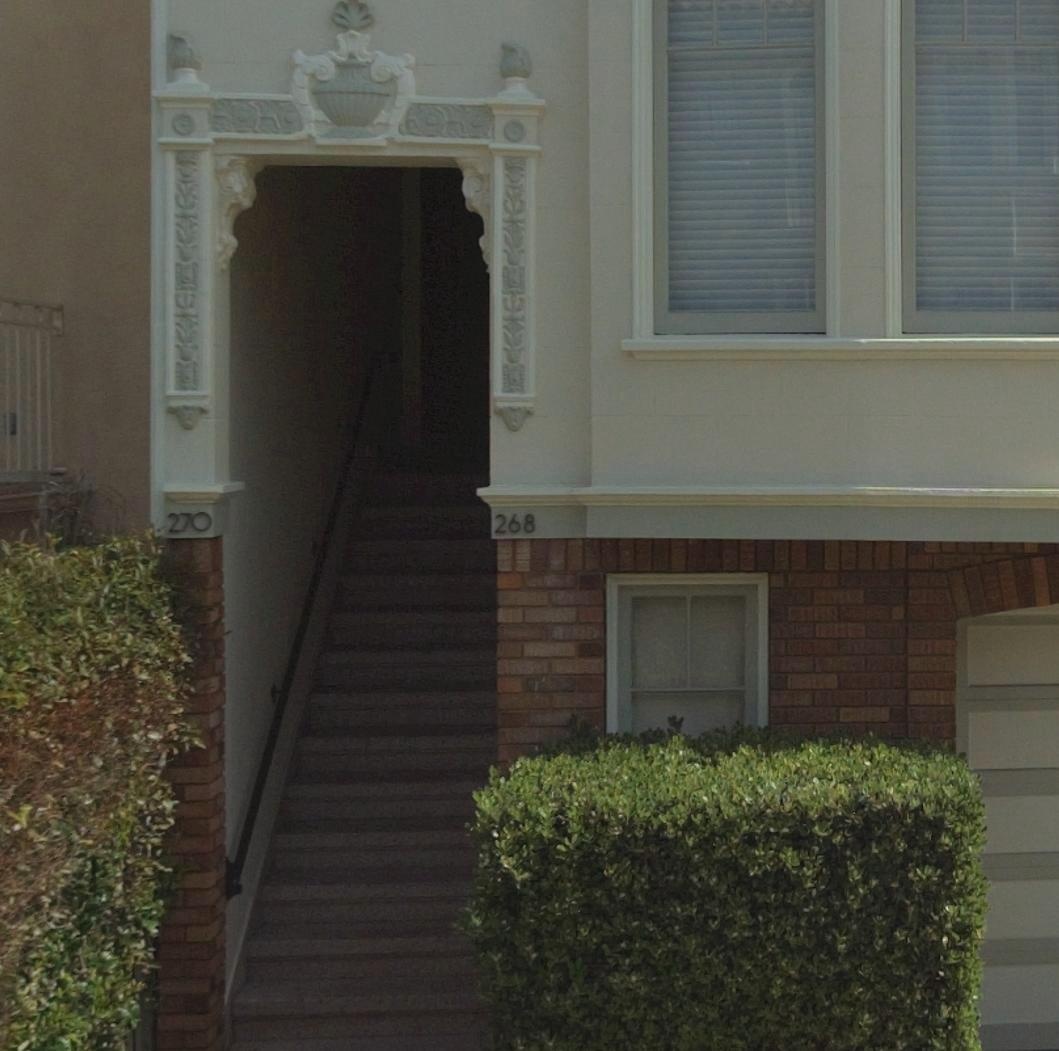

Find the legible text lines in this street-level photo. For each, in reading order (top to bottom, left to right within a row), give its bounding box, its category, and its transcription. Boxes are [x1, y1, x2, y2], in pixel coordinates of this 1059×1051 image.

[165, 510, 213, 535] StreetNumber: 270
[493, 511, 538, 536] StreetNumber: 268